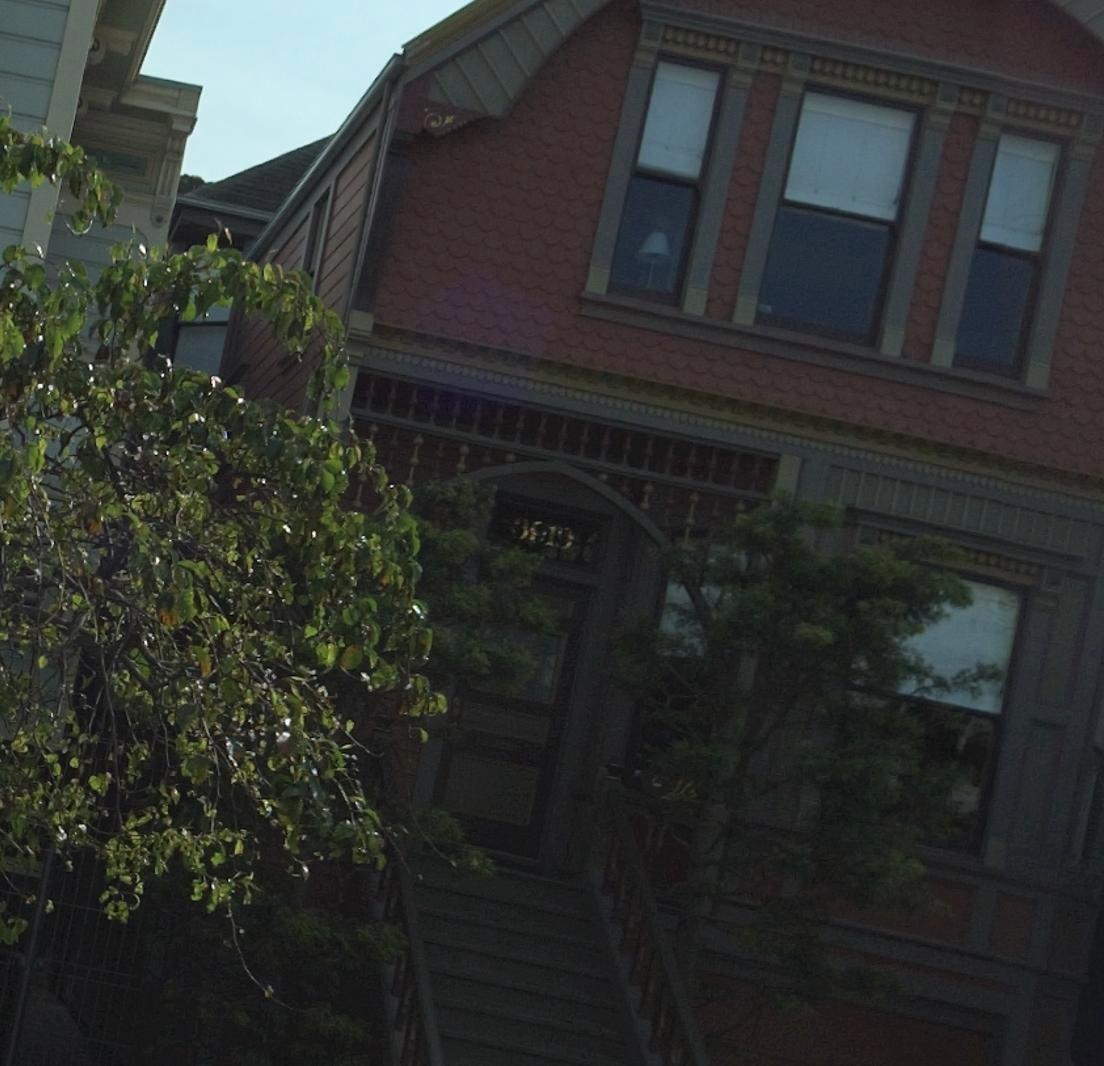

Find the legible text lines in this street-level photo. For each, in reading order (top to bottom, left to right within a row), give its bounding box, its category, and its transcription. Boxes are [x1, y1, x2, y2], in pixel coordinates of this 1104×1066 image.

[510, 514, 579, 551] StreetNumber: 3919